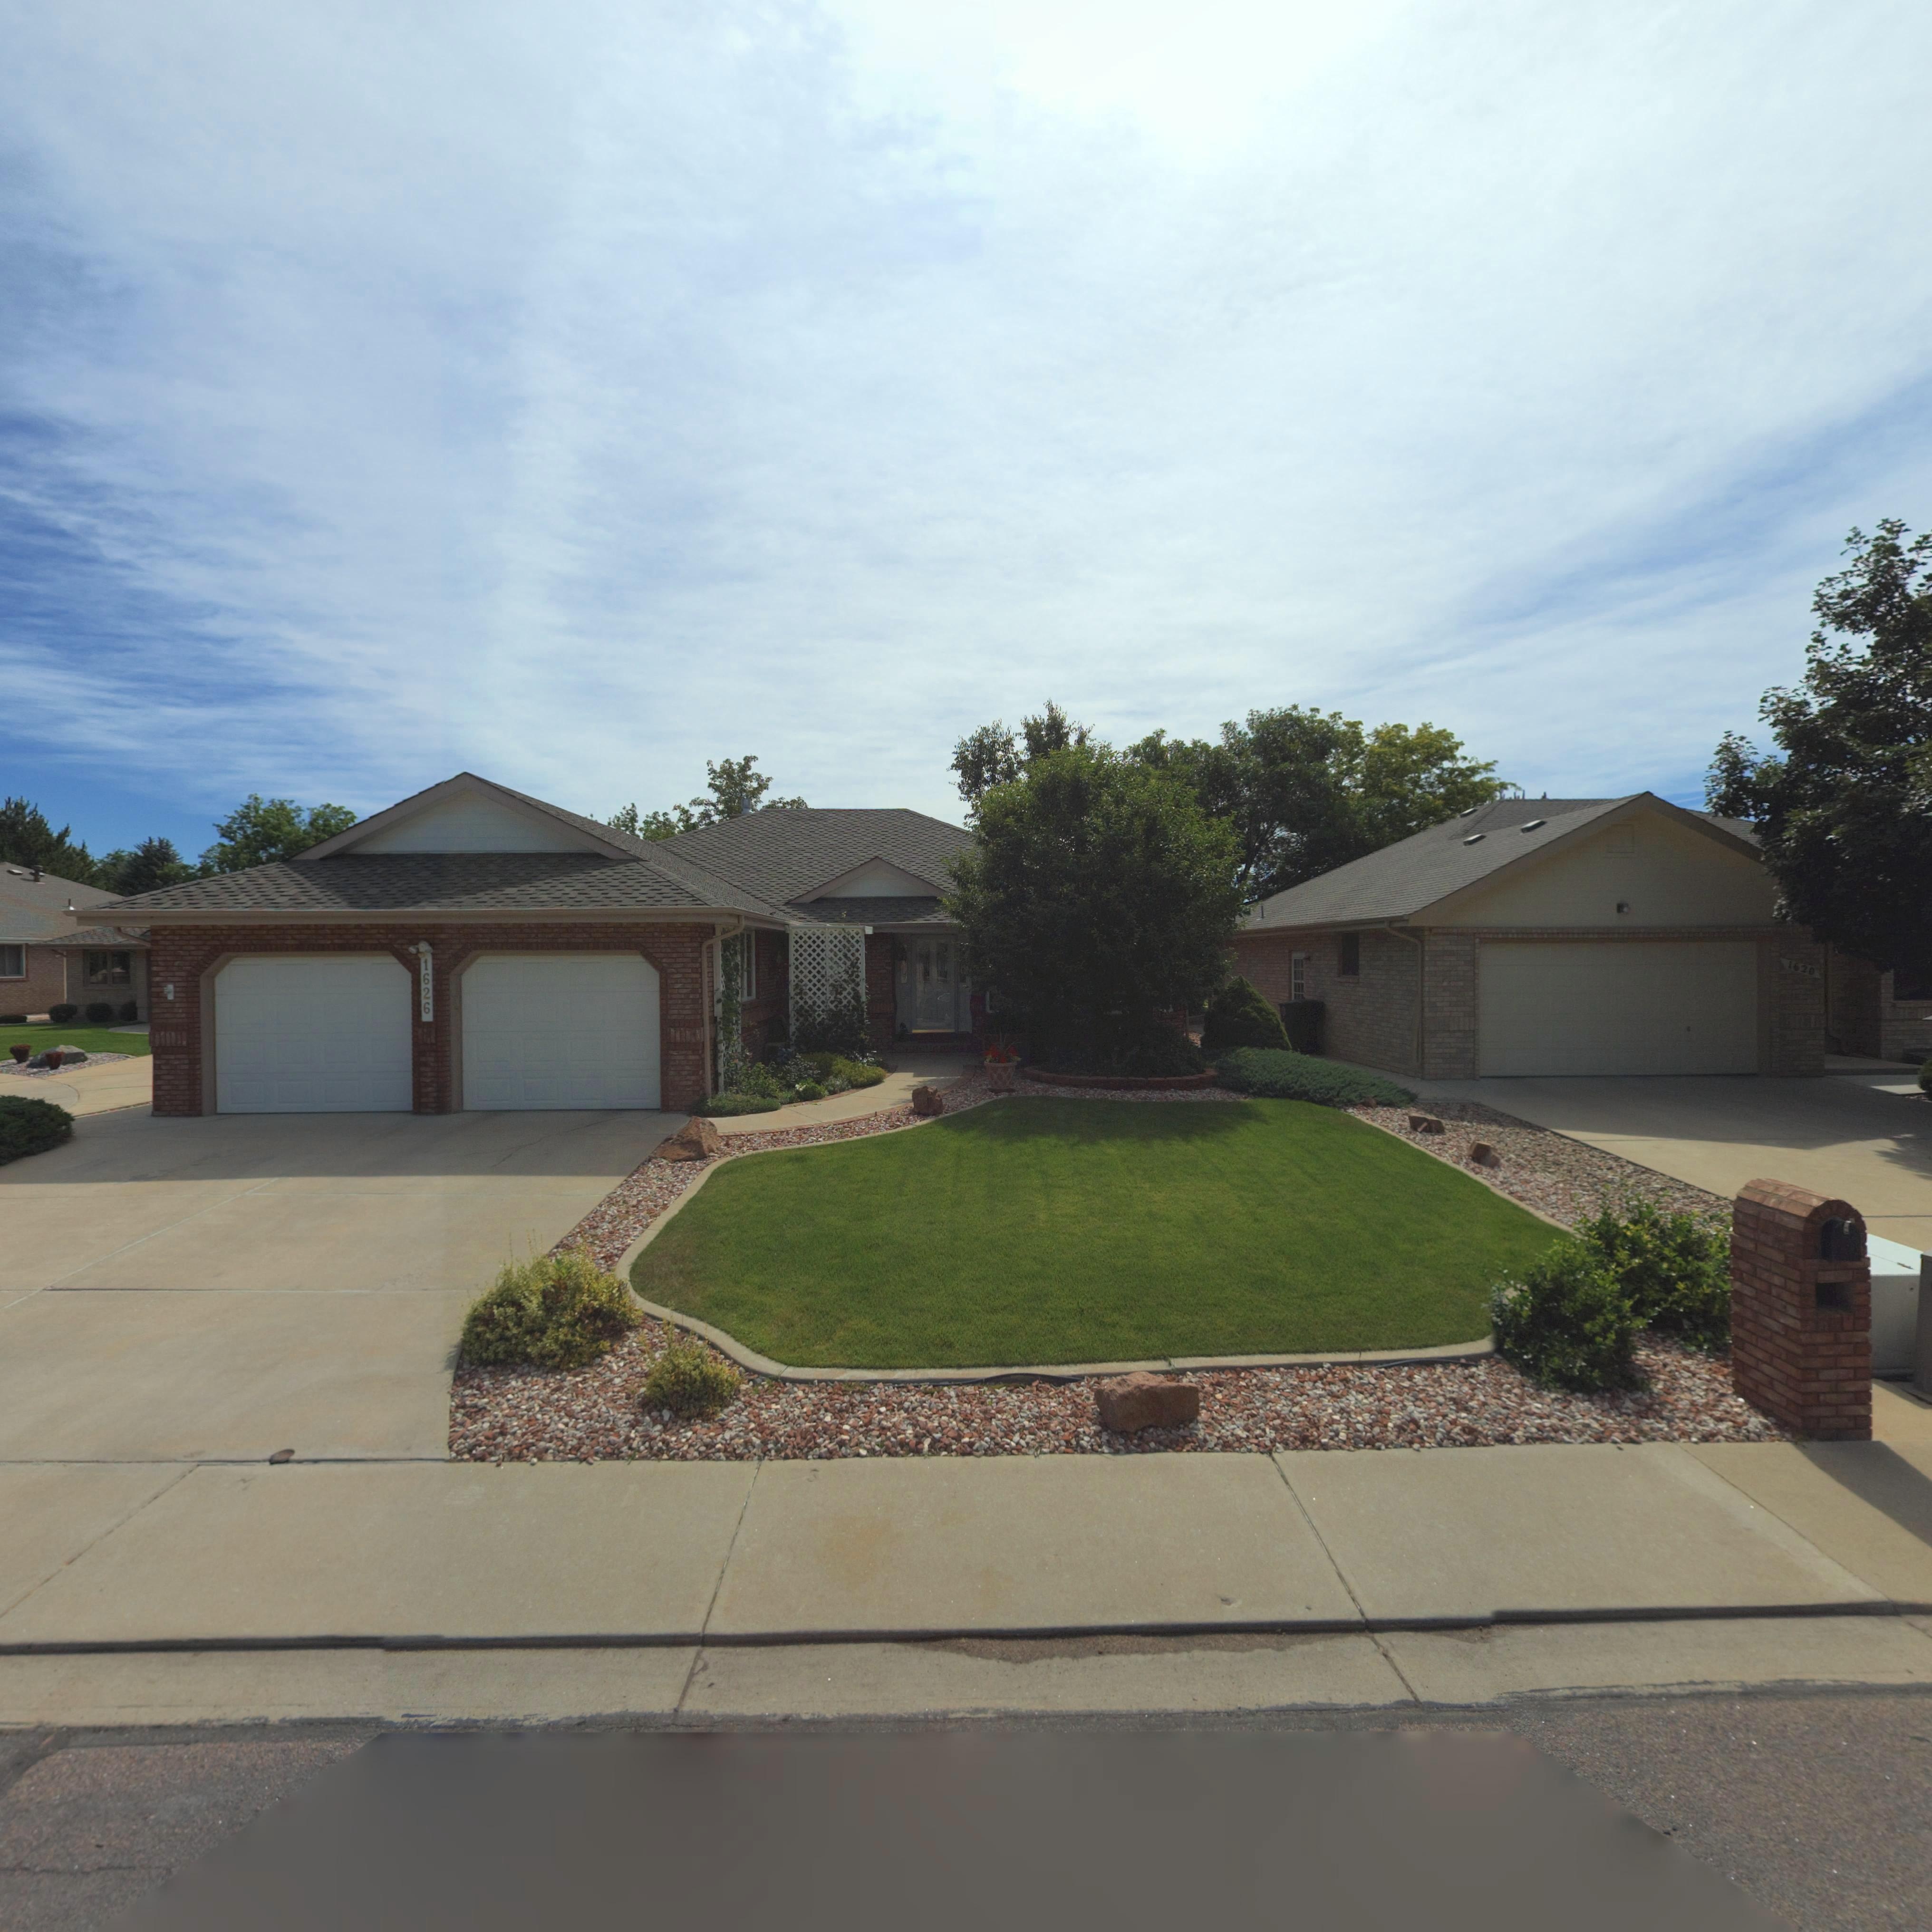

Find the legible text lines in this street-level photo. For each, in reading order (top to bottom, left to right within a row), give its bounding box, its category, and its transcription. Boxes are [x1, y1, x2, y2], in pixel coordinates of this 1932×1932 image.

[423, 957, 430, 1014] StreetNumber: 1626
[1788, 960, 1815, 975] StreetNumber: 1620